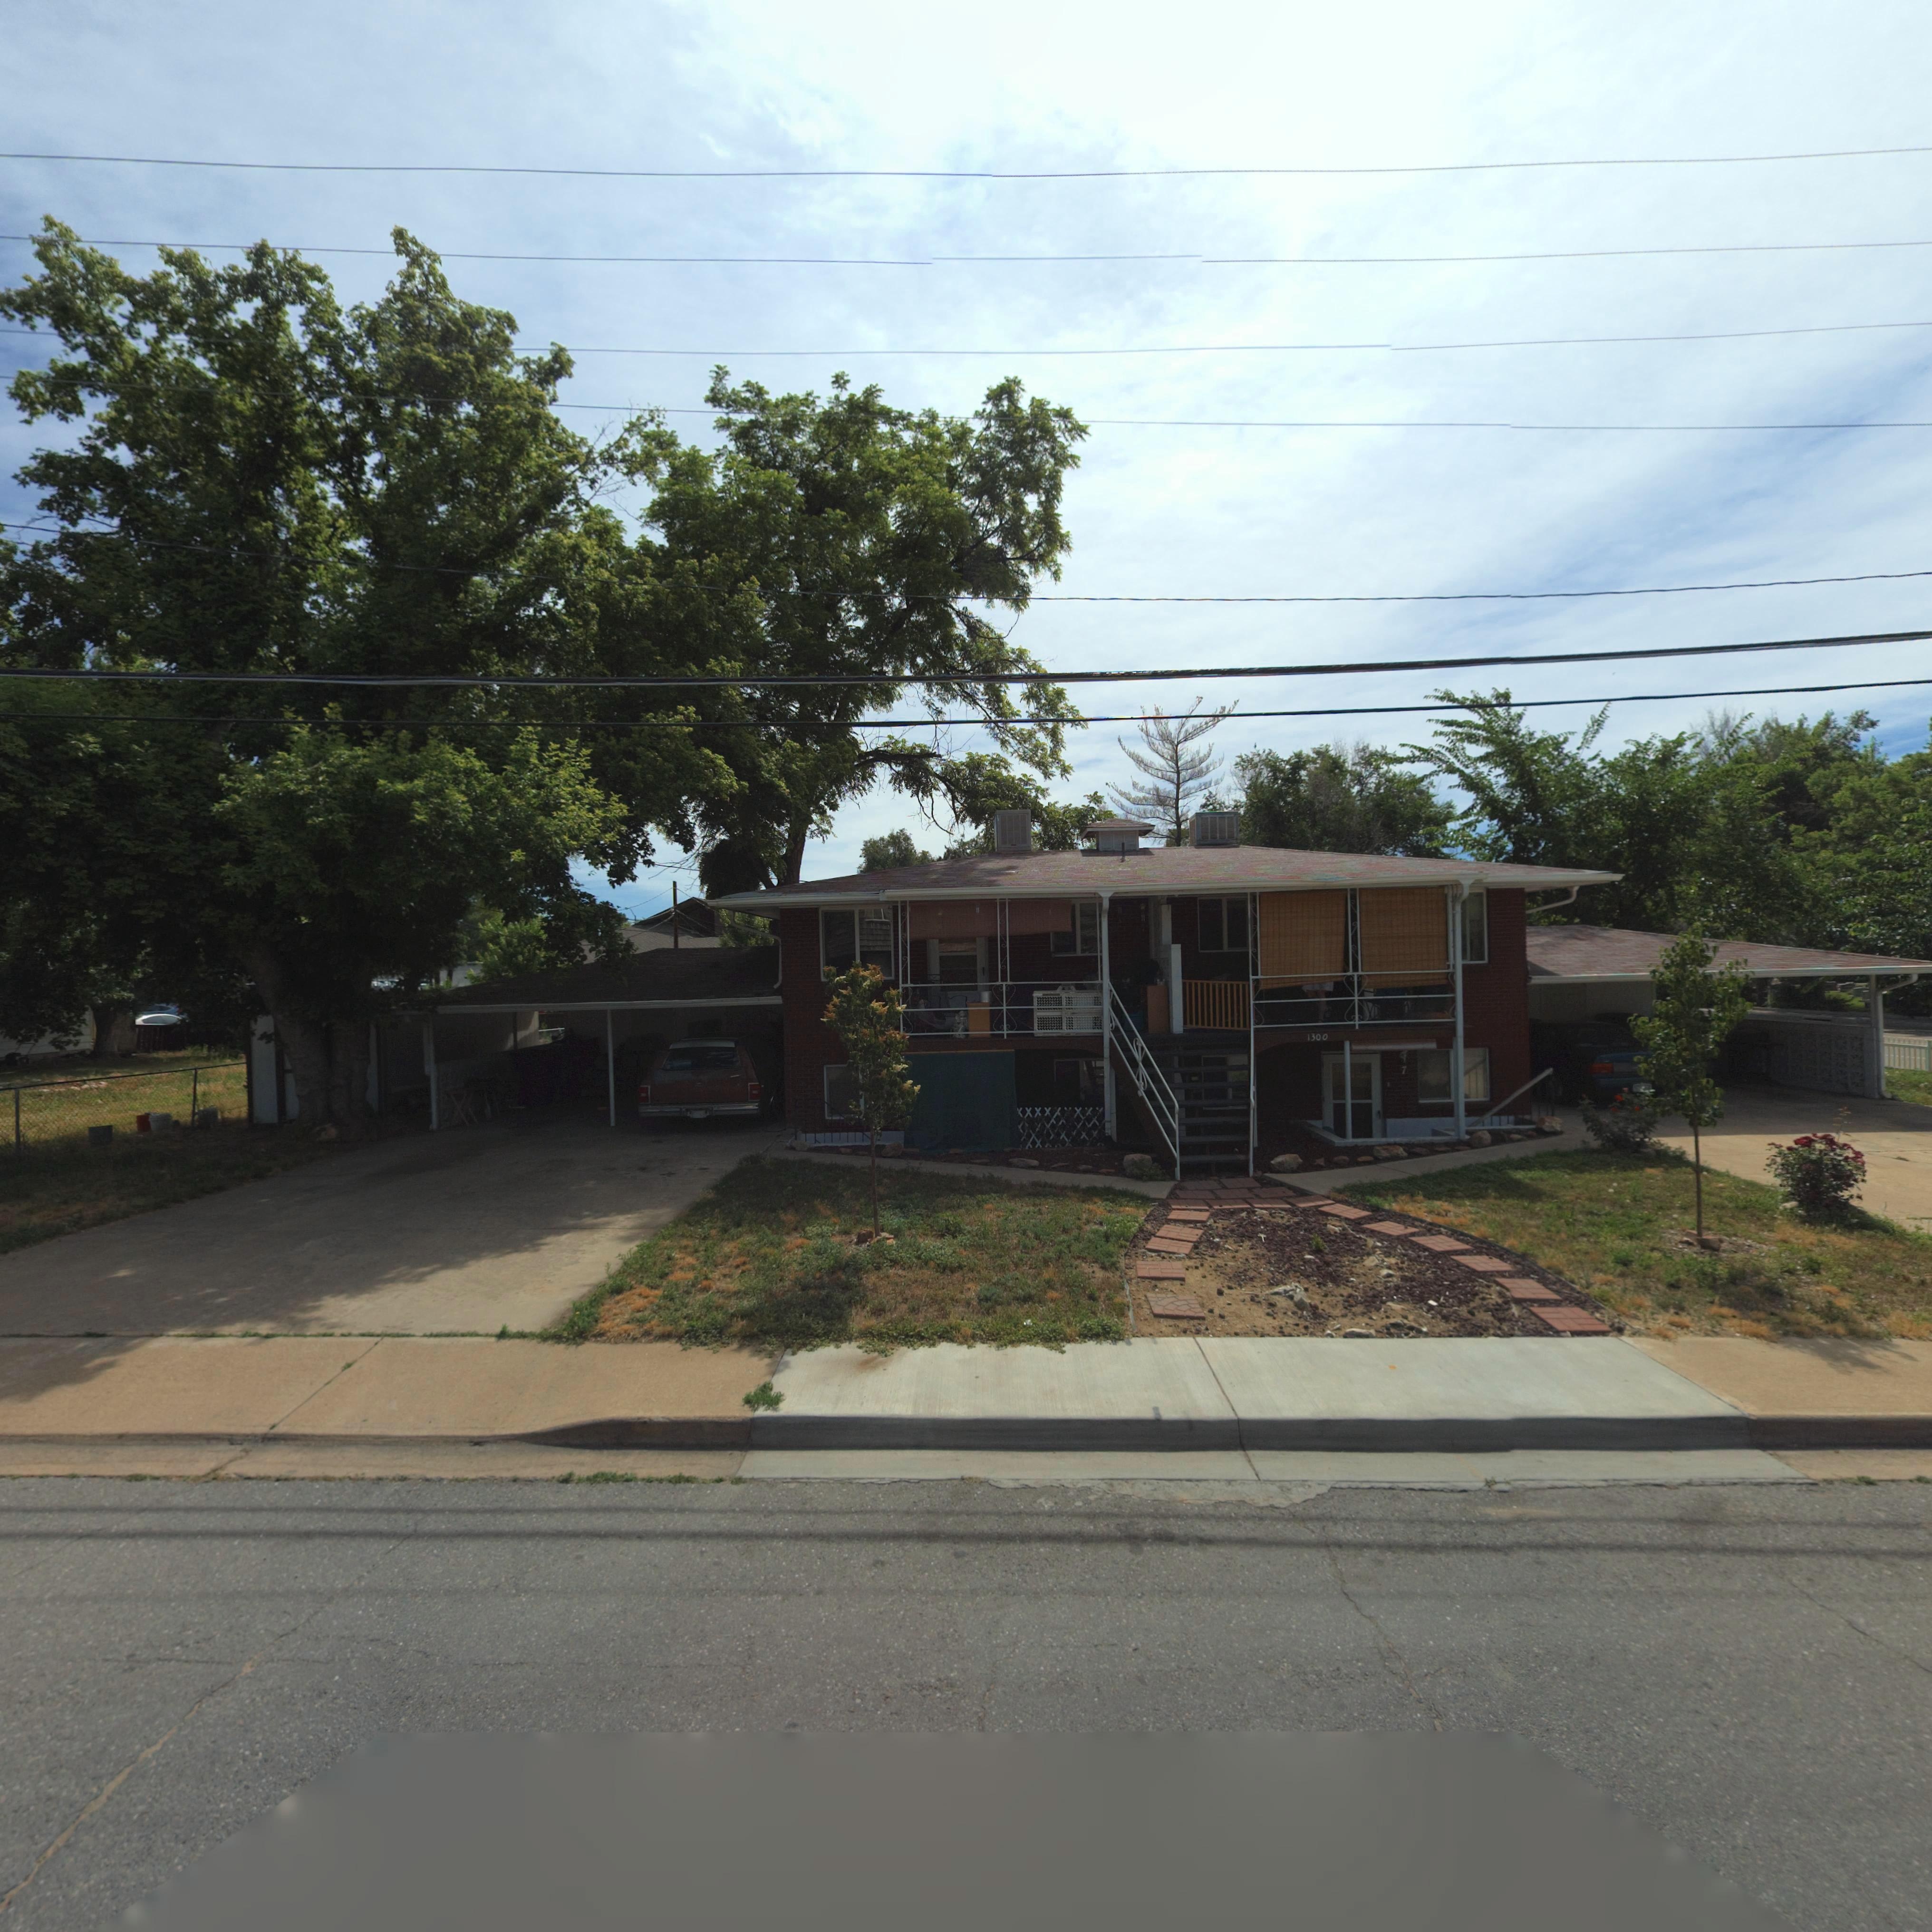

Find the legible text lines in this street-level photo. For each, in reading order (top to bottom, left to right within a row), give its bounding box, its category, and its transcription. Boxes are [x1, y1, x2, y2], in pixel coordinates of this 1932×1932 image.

[1306, 1033, 1328, 1041] StreetNumber: 1300
[1401, 1065, 1407, 1074] StreetNumber: 7